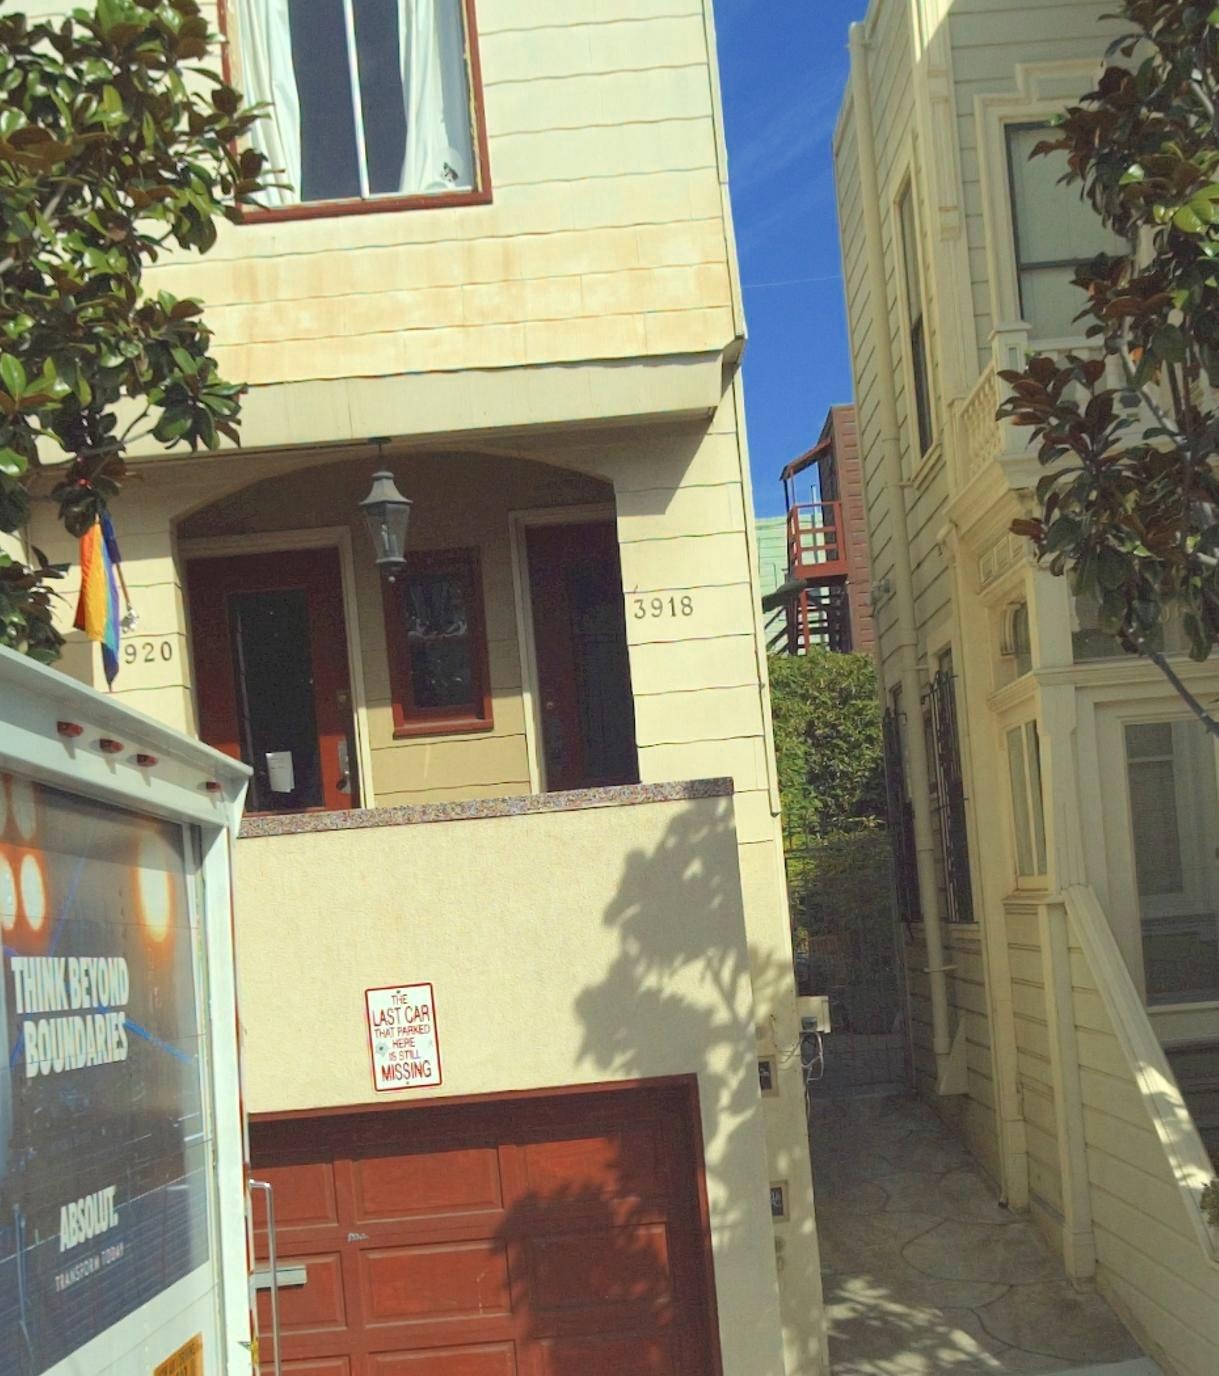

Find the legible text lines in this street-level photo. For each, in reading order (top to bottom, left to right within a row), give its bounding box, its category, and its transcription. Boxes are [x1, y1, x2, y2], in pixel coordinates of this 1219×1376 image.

[632, 594, 694, 620] StreetNumber: 3918
[123, 639, 175, 666] StreetNumber: 920
[7, 954, 132, 1015] None: THINK BEYOND
[390, 993, 410, 1007] None: THE
[371, 1002, 432, 1028] None: LAST CAR
[21, 1010, 130, 1082] None: BOUNDARIES
[373, 1021, 432, 1040] None: THAT PARKED
[391, 1037, 417, 1050] None: HERE
[387, 1048, 423, 1062] None: IS STILL
[379, 1058, 434, 1083] None: MISSING
[58, 1180, 121, 1256] None: ABSOLUT.